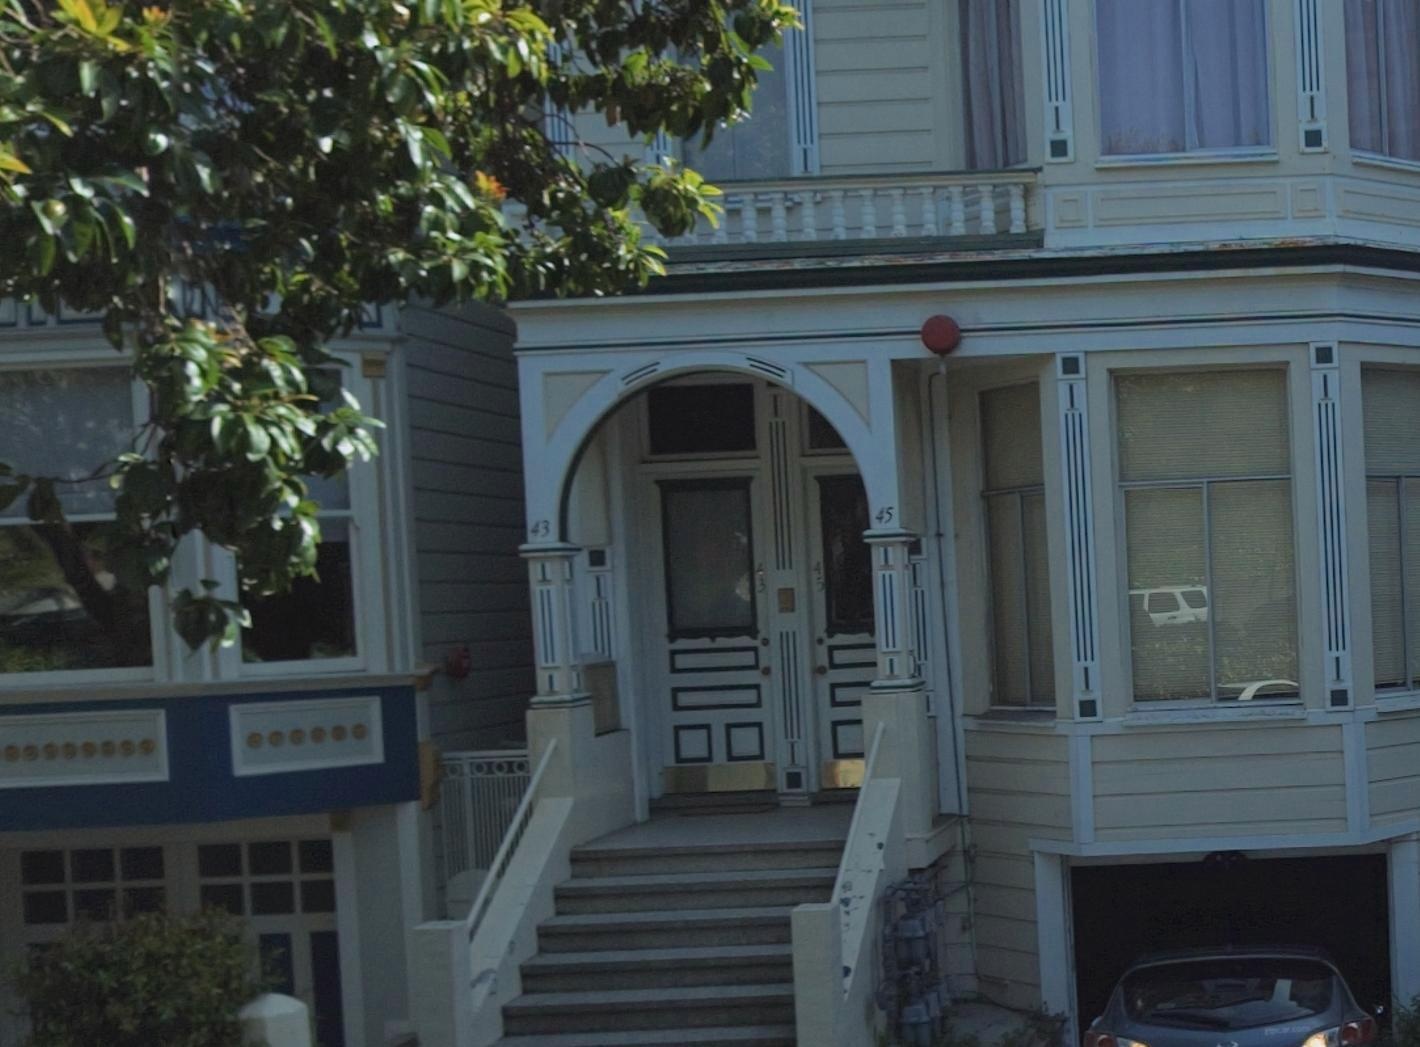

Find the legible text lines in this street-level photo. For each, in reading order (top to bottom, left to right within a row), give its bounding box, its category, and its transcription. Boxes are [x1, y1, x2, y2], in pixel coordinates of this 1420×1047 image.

[529, 518, 551, 538] StreetNumber: 43
[874, 505, 895, 524] StreetNumber: 45
[754, 562, 766, 593] StreetNumber: 43
[811, 559, 824, 591] StreetNumber: 45